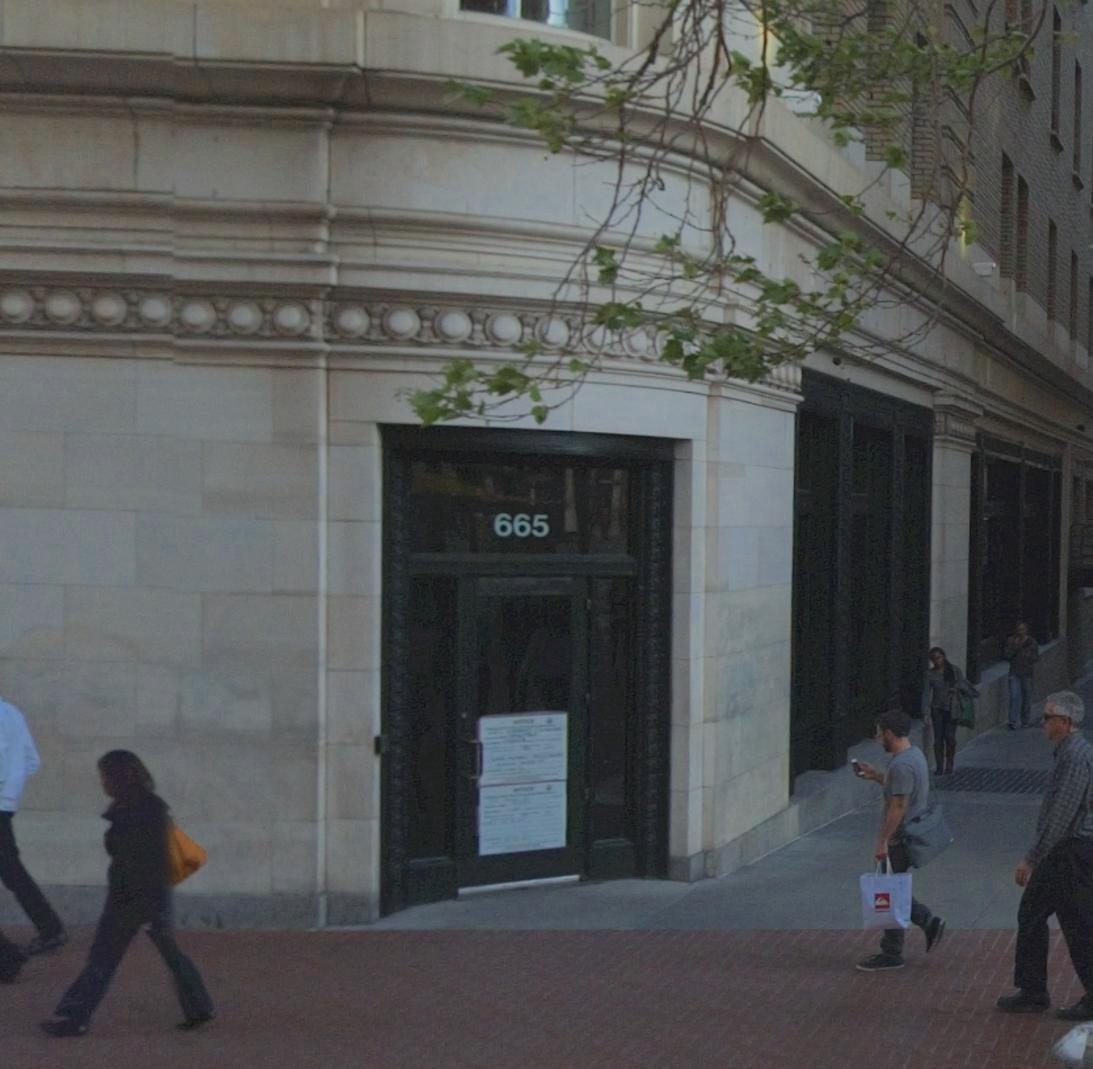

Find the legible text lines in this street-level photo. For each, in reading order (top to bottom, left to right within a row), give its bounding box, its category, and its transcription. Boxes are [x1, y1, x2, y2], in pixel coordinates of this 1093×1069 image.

[493, 511, 552, 540] StreetNumber: 665